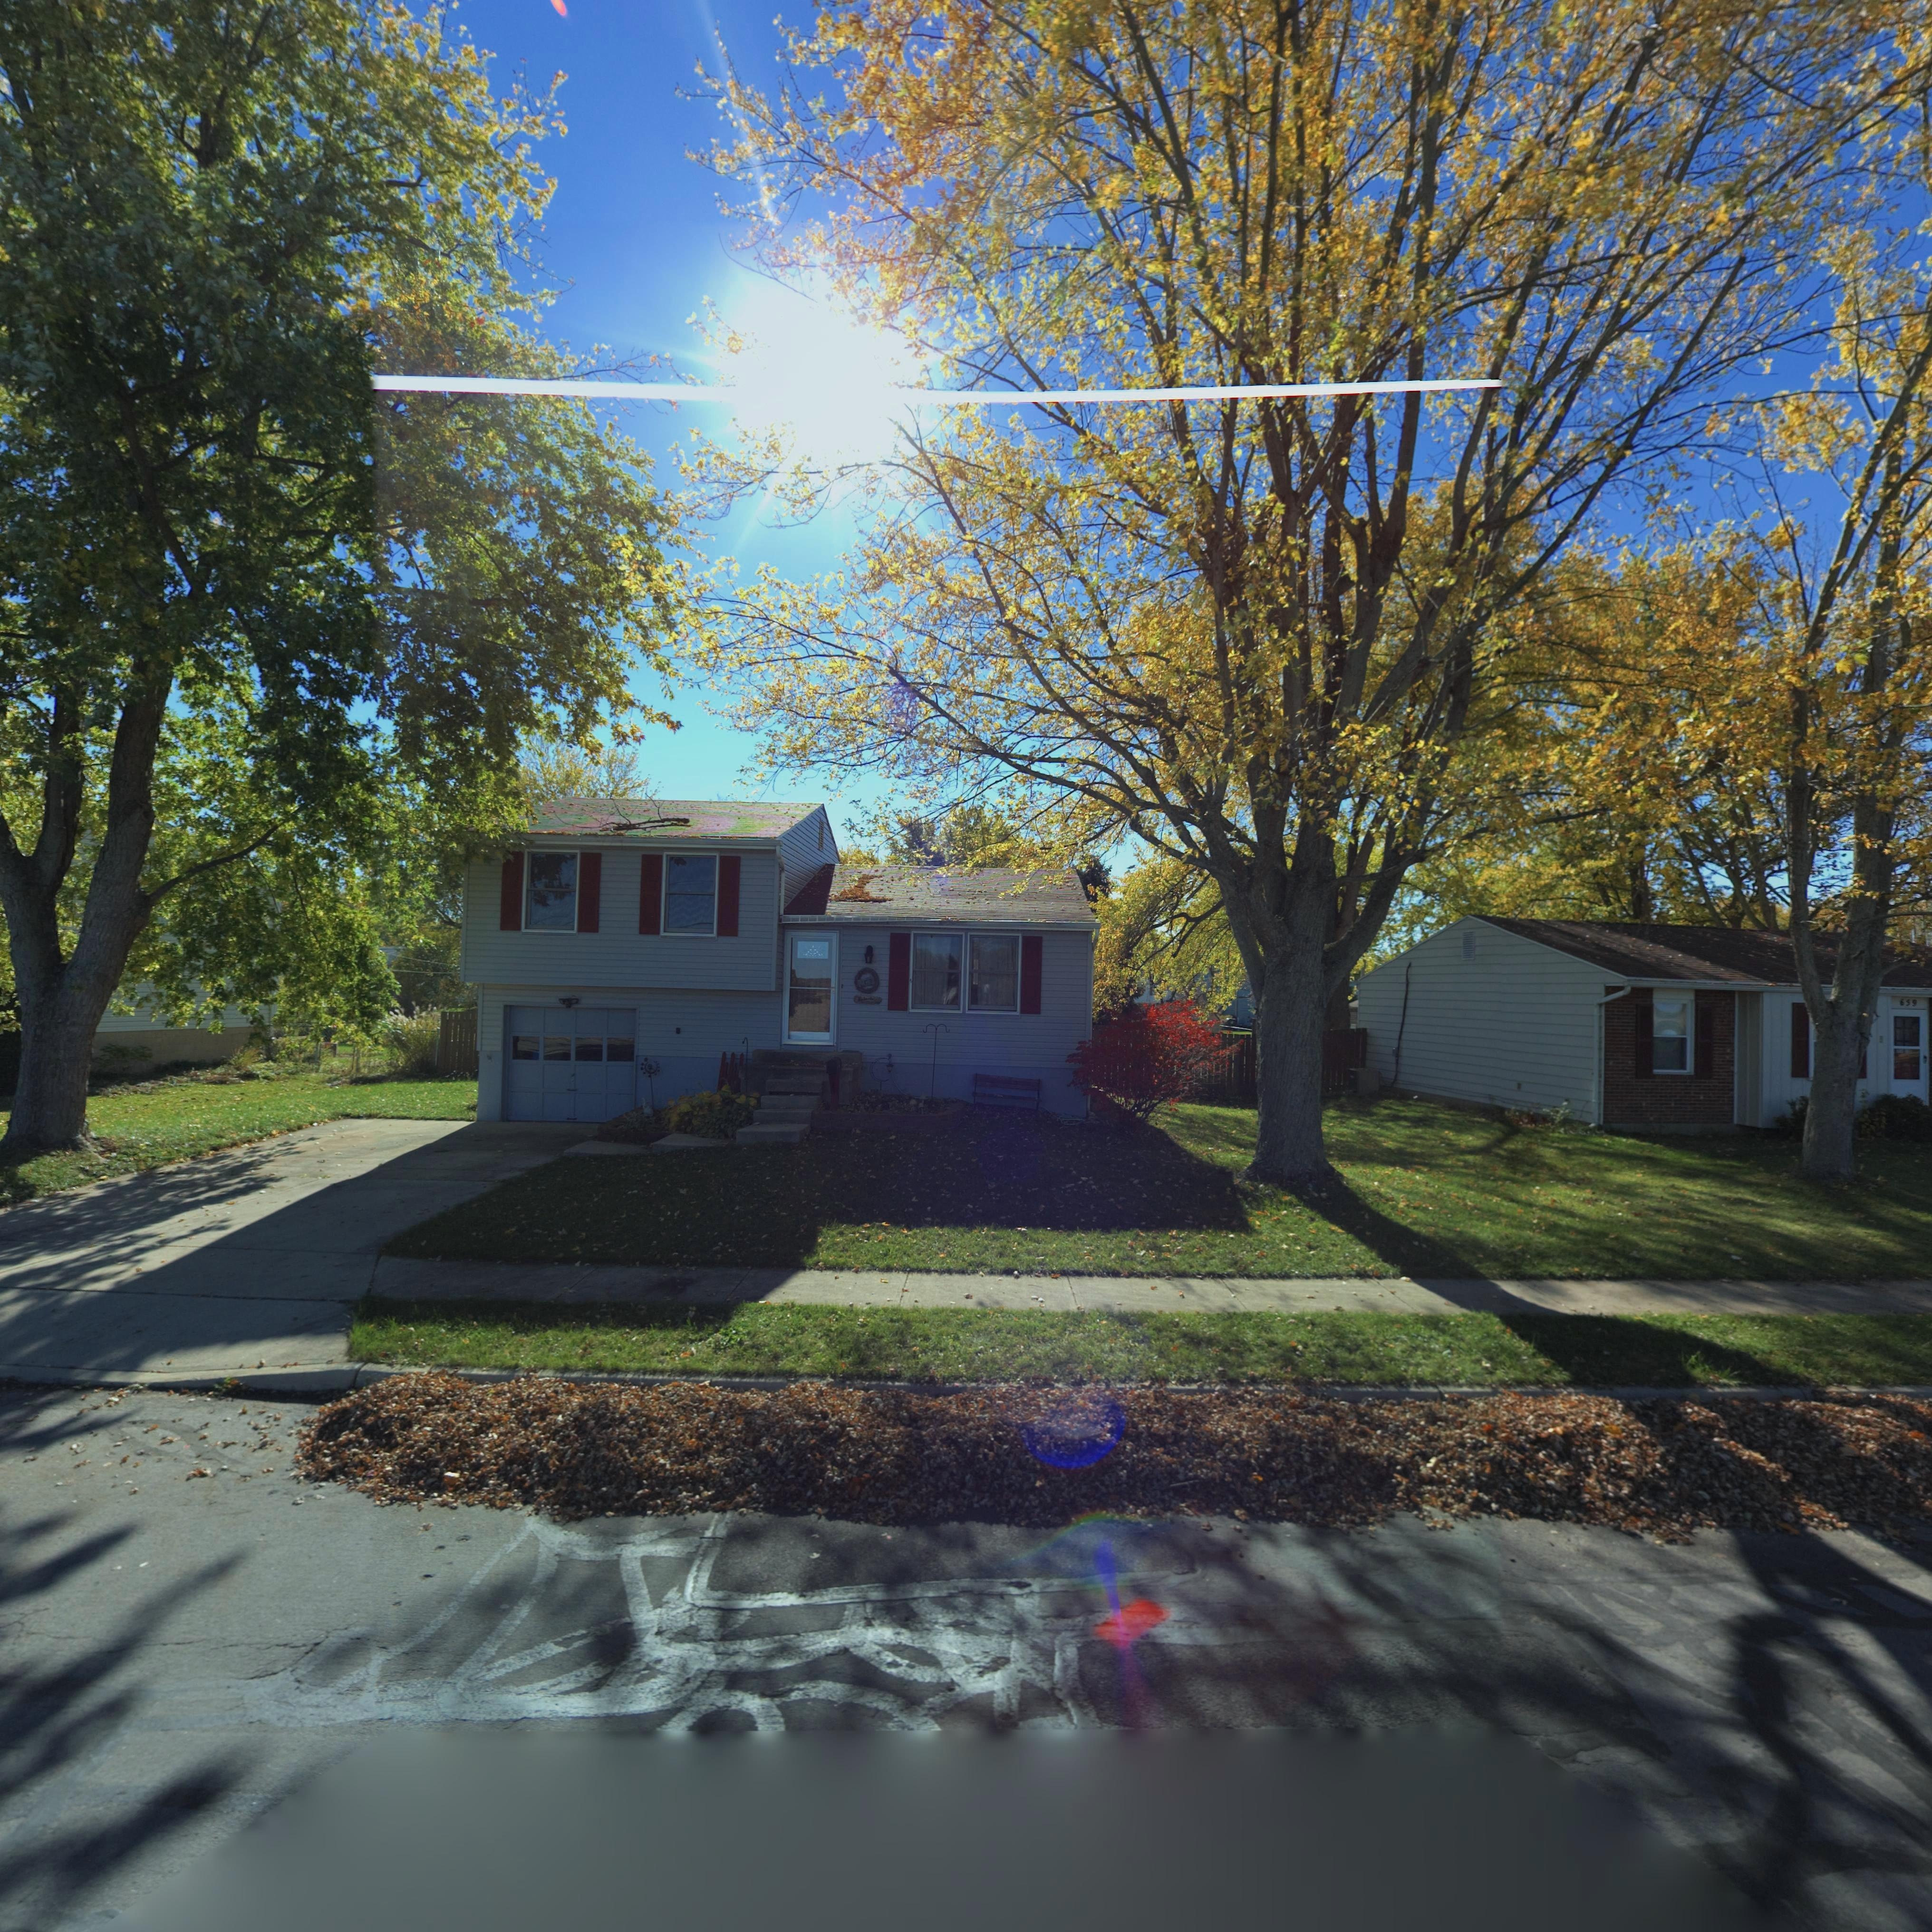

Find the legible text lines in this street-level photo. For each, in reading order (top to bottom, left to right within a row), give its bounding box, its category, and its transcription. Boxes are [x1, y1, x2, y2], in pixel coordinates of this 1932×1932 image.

[863, 978, 873, 987] StreetNumber: 57
[1899, 998, 1918, 1007] StreetNumber: 659